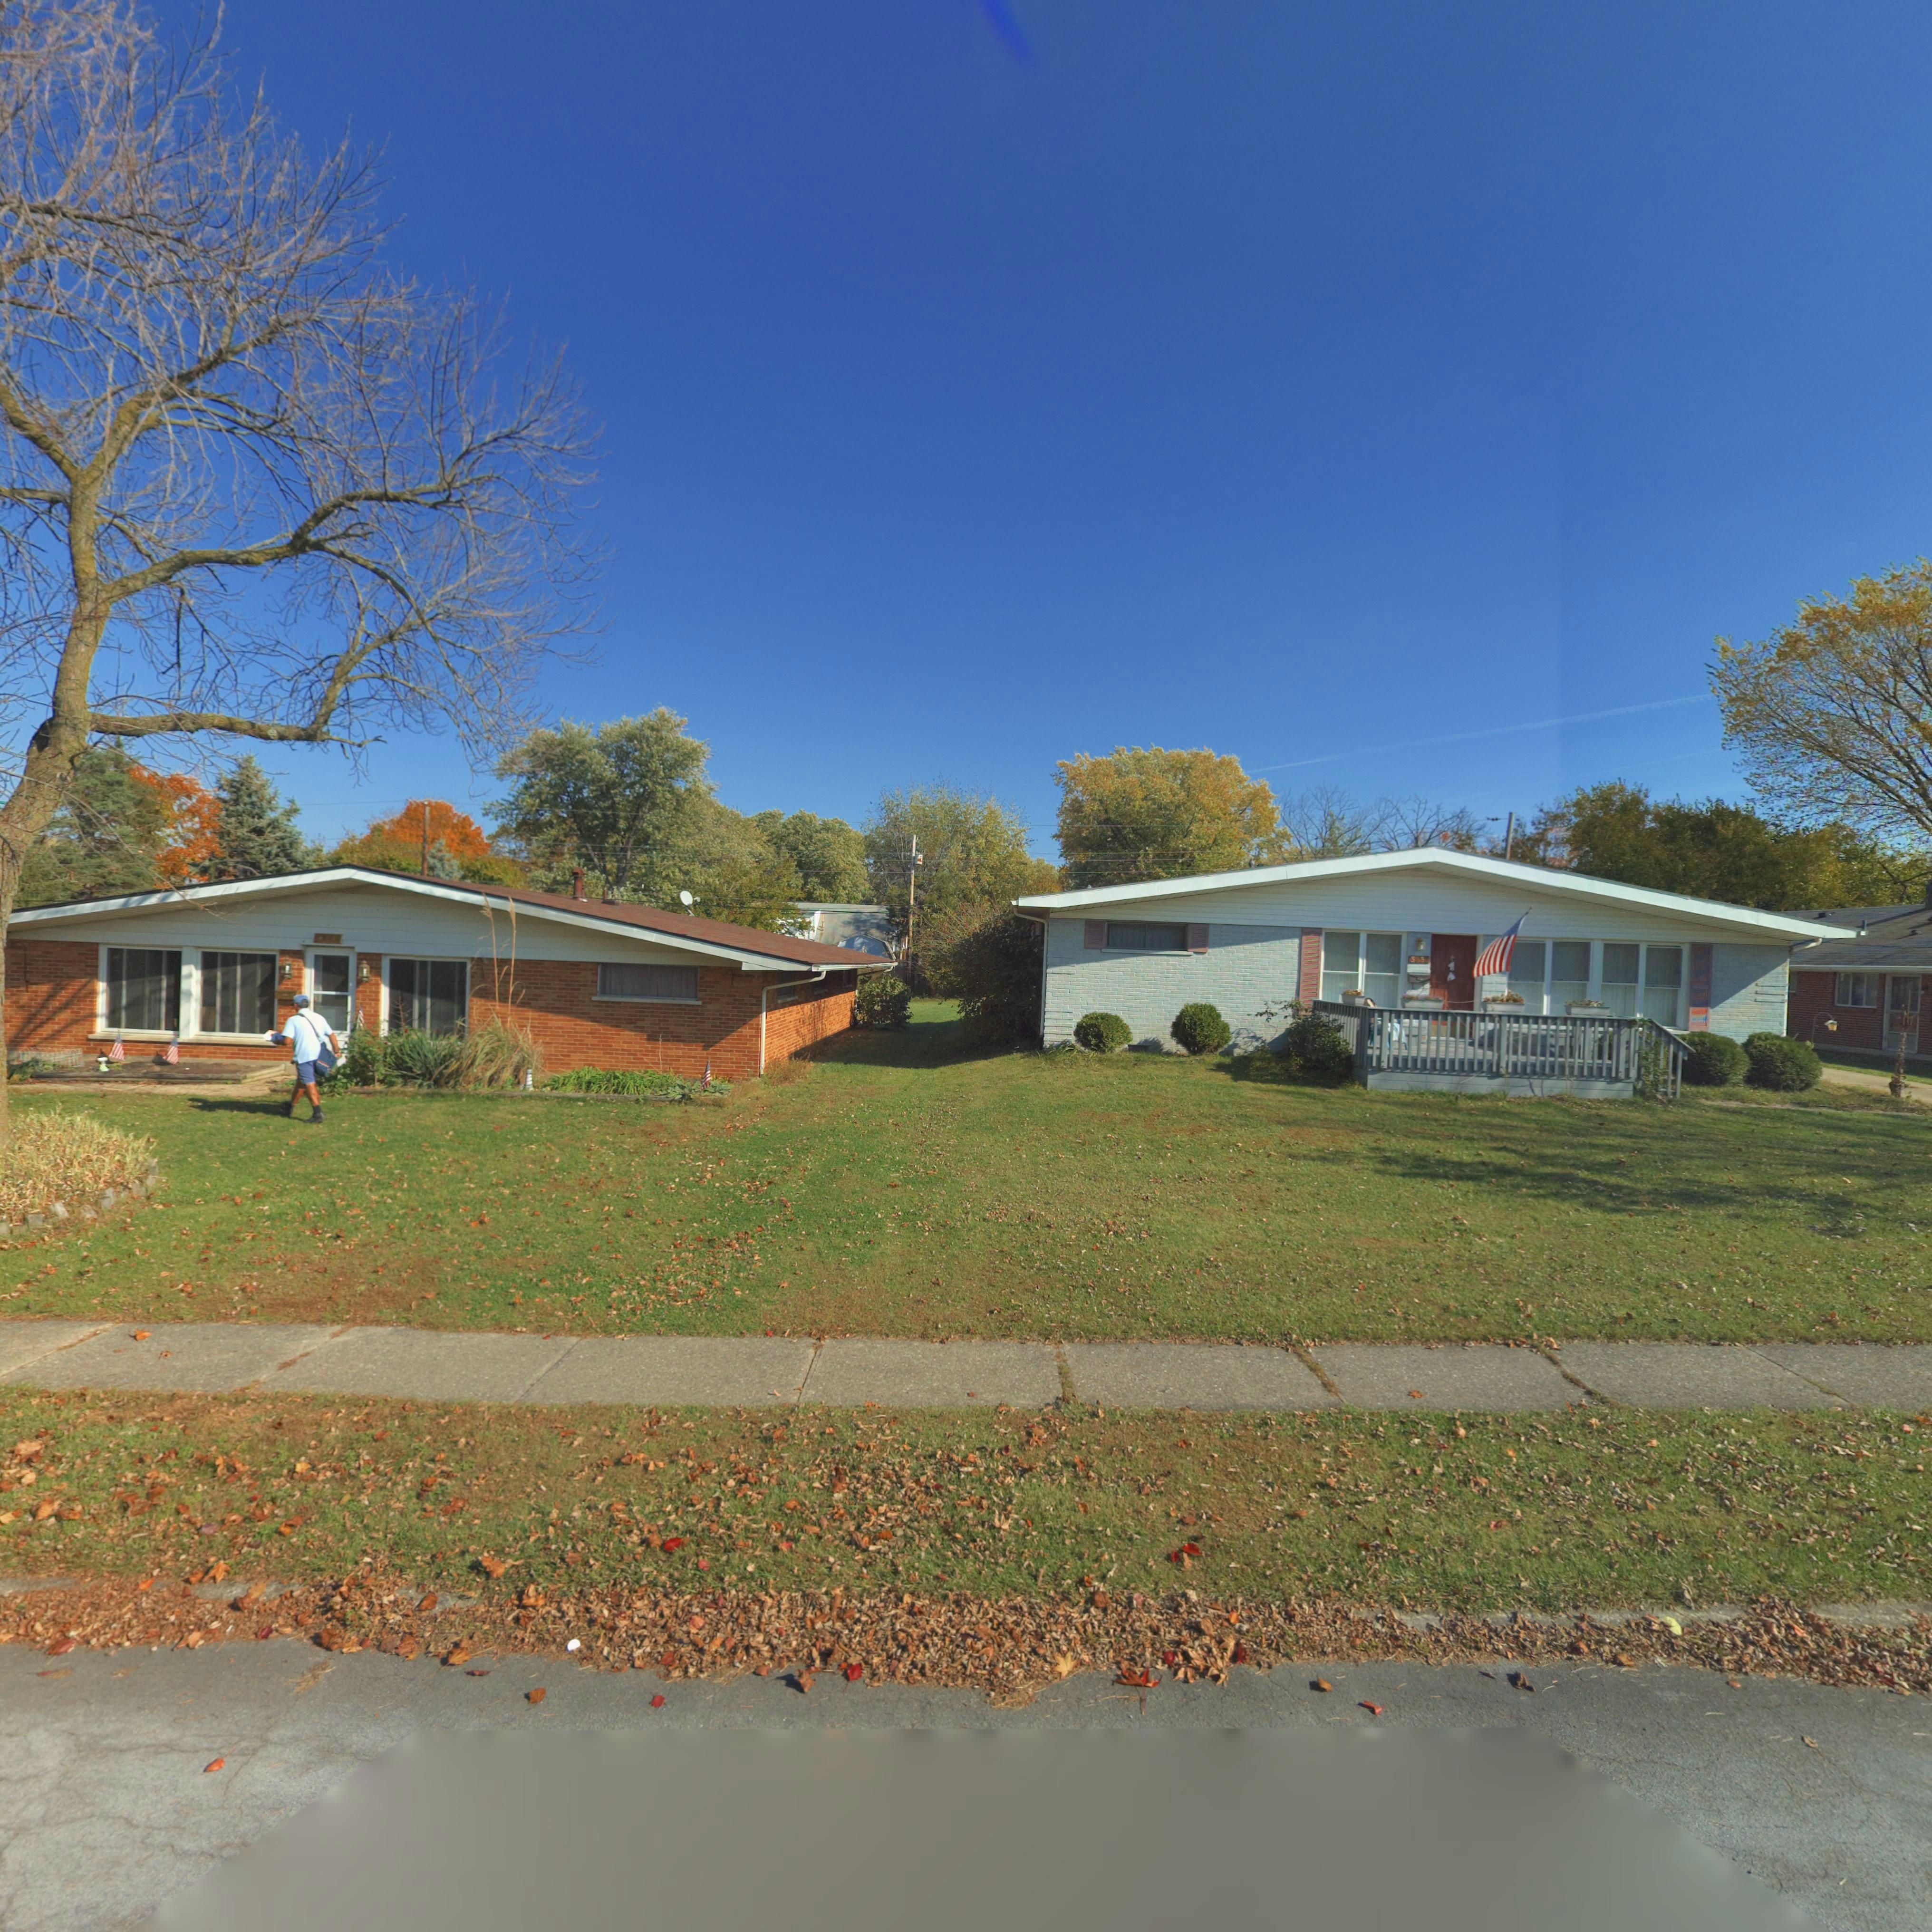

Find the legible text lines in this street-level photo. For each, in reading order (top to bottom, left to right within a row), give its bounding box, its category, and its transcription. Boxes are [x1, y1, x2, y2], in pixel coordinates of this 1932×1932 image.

[1410, 956, 1430, 963] StreetNumber: 3850